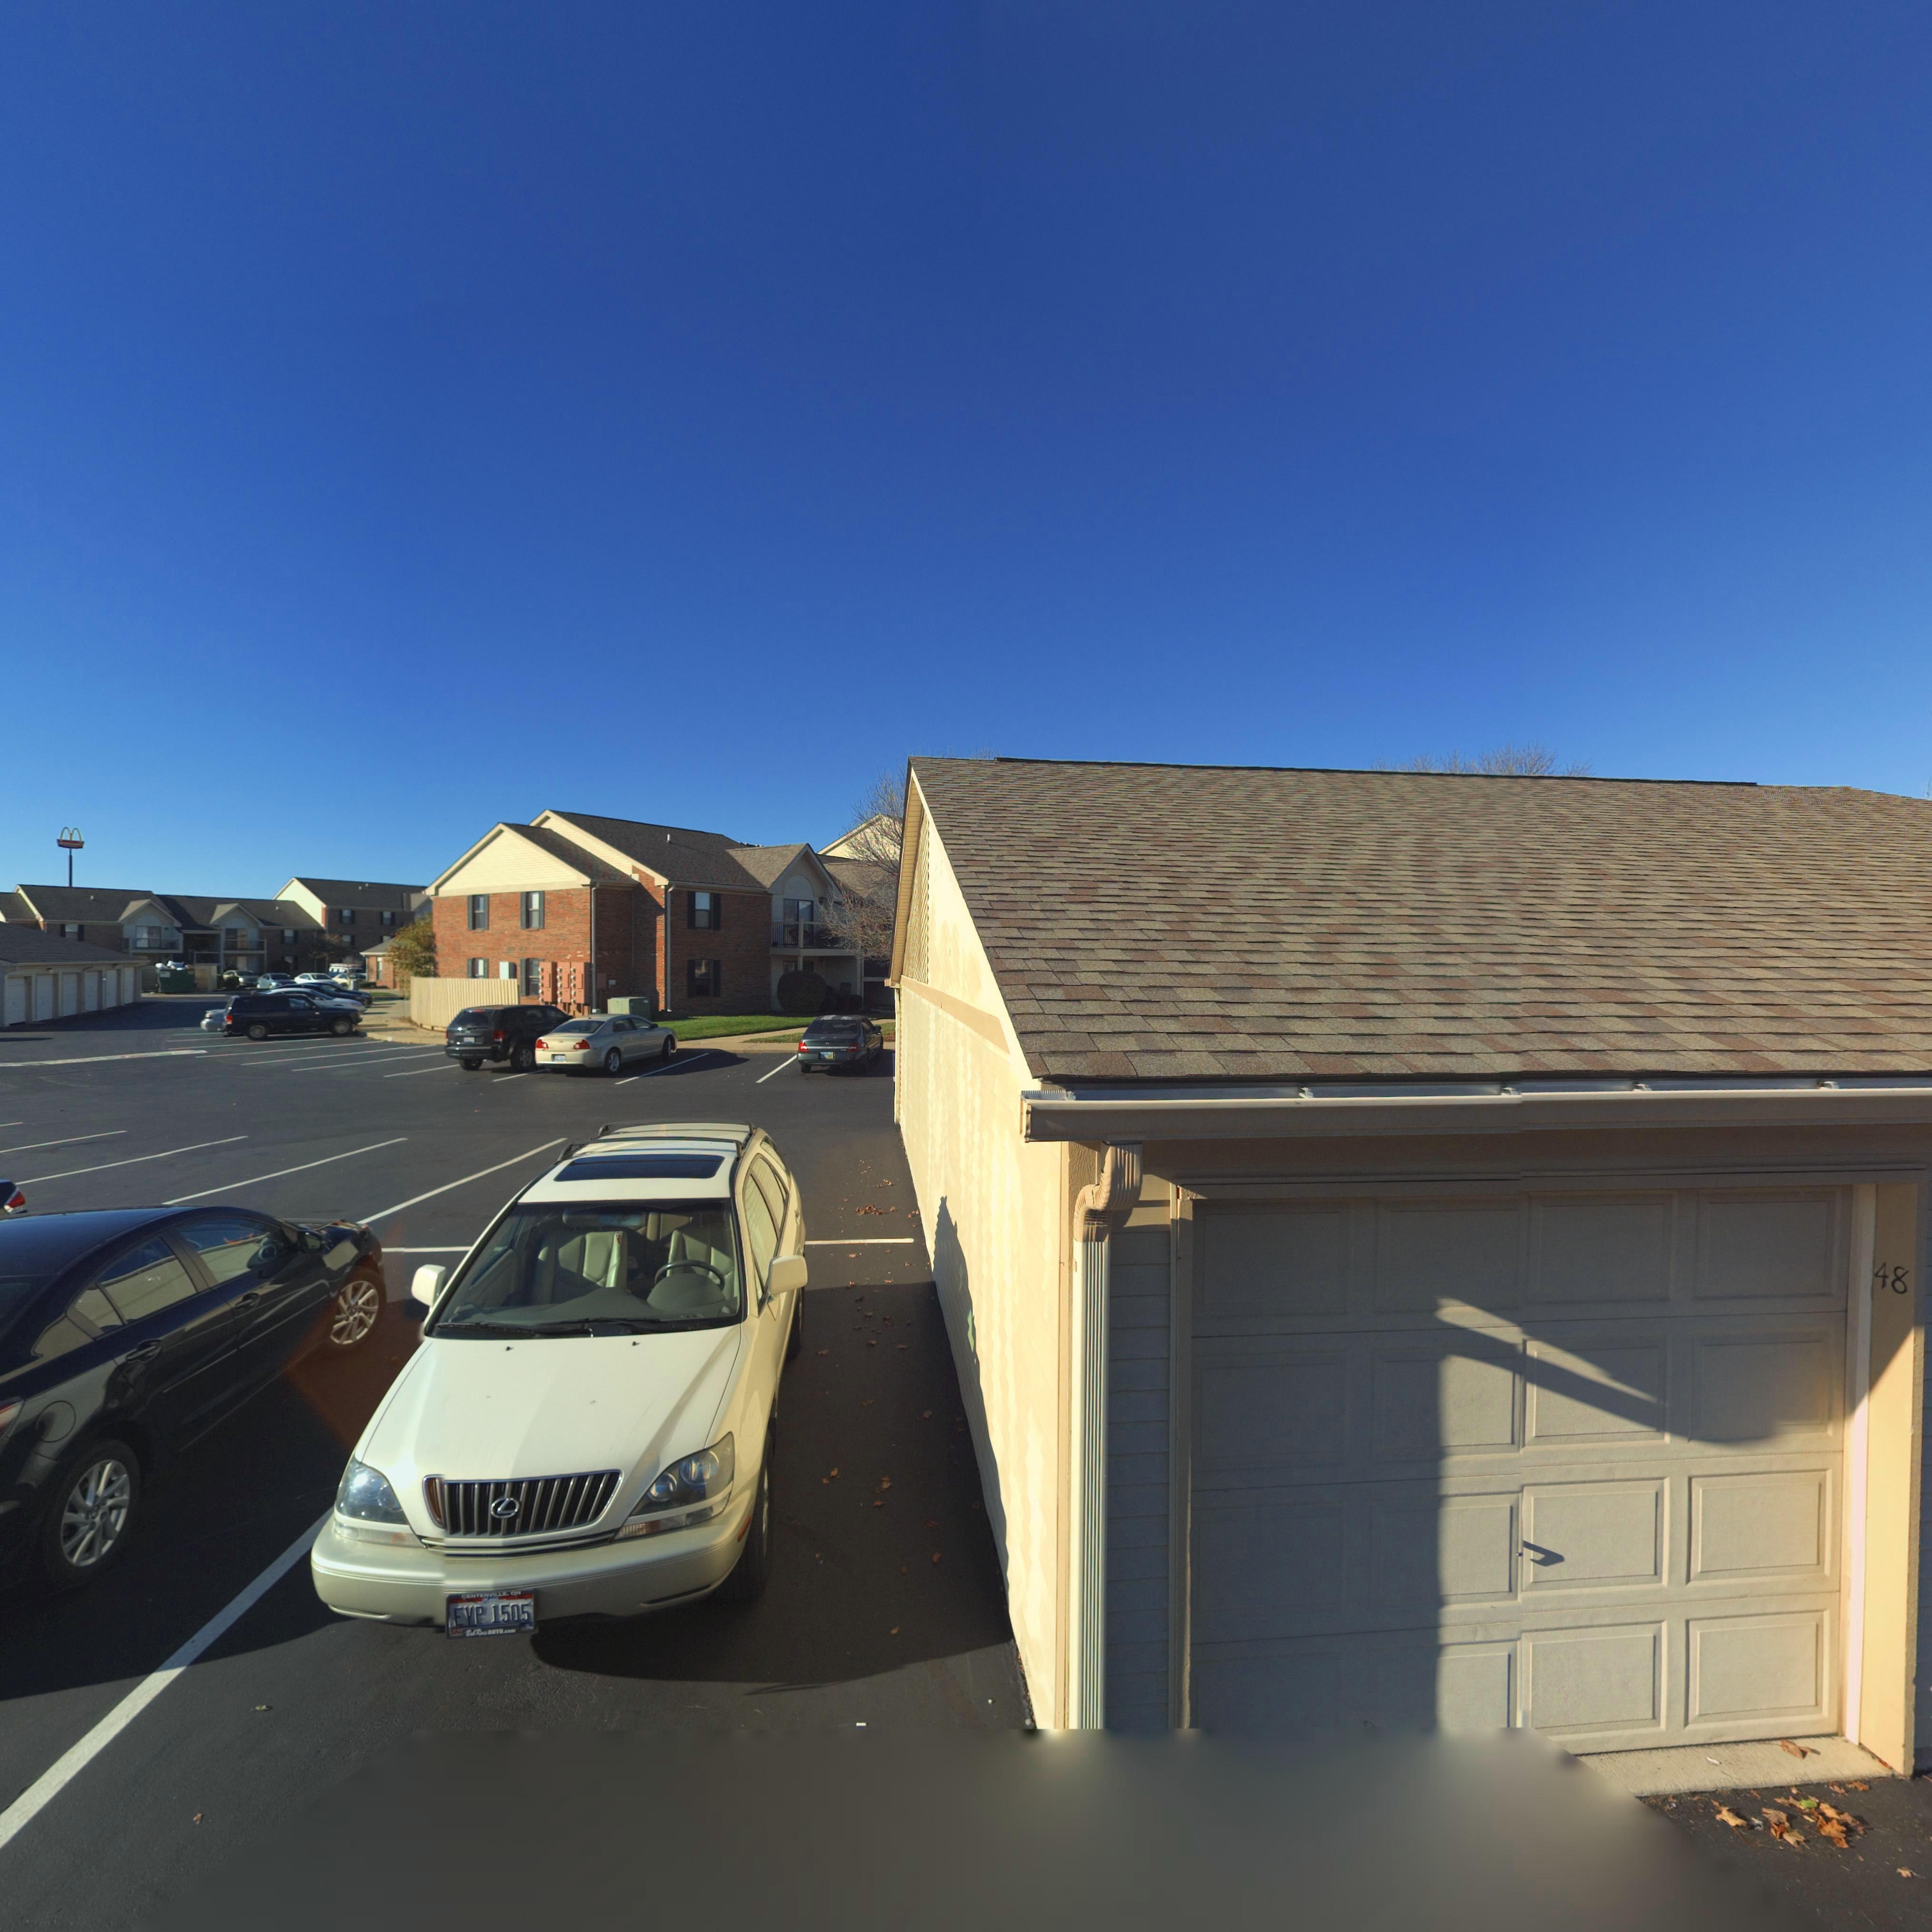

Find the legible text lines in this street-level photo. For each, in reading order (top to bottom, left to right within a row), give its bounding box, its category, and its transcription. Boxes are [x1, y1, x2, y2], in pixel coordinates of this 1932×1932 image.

[1874, 1259, 1910, 1297] StreetNumber: 48